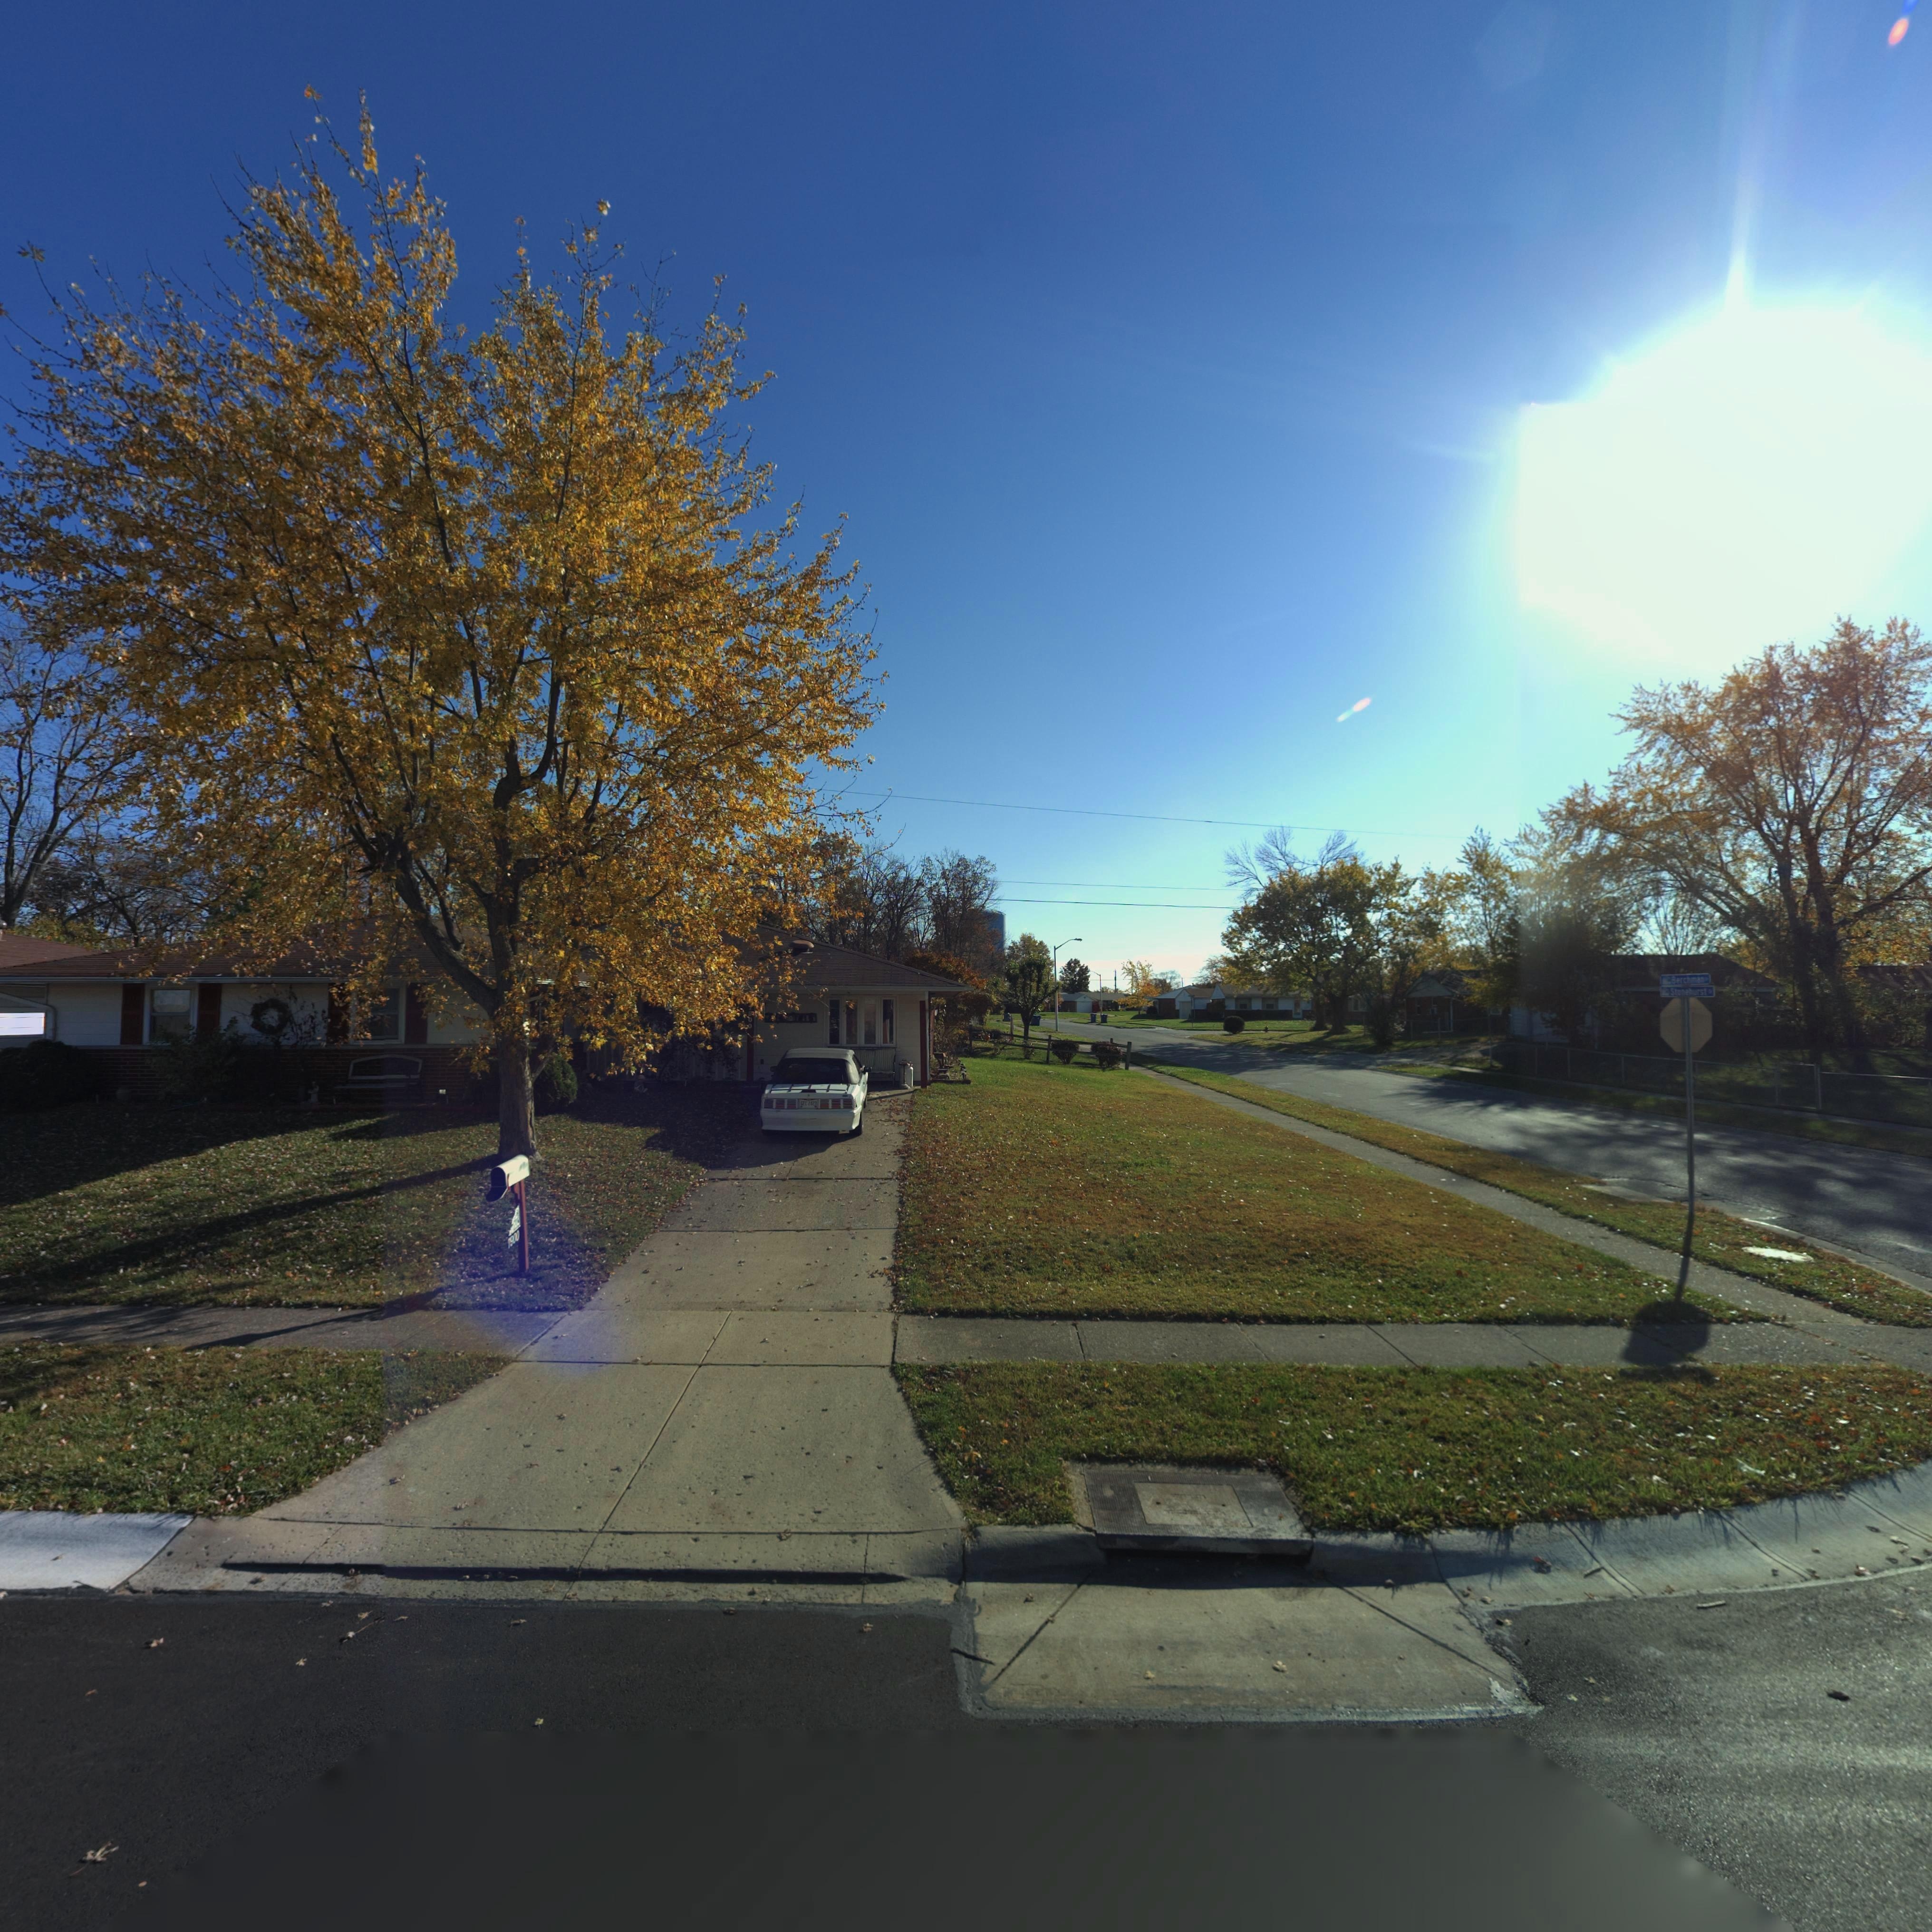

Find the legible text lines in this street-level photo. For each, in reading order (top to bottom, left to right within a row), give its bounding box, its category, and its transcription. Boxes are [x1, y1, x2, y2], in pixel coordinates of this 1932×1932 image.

[746, 1005, 753, 1030] StreetNumber: **00
[506, 1229, 521, 1251] StreetNumber: 7900